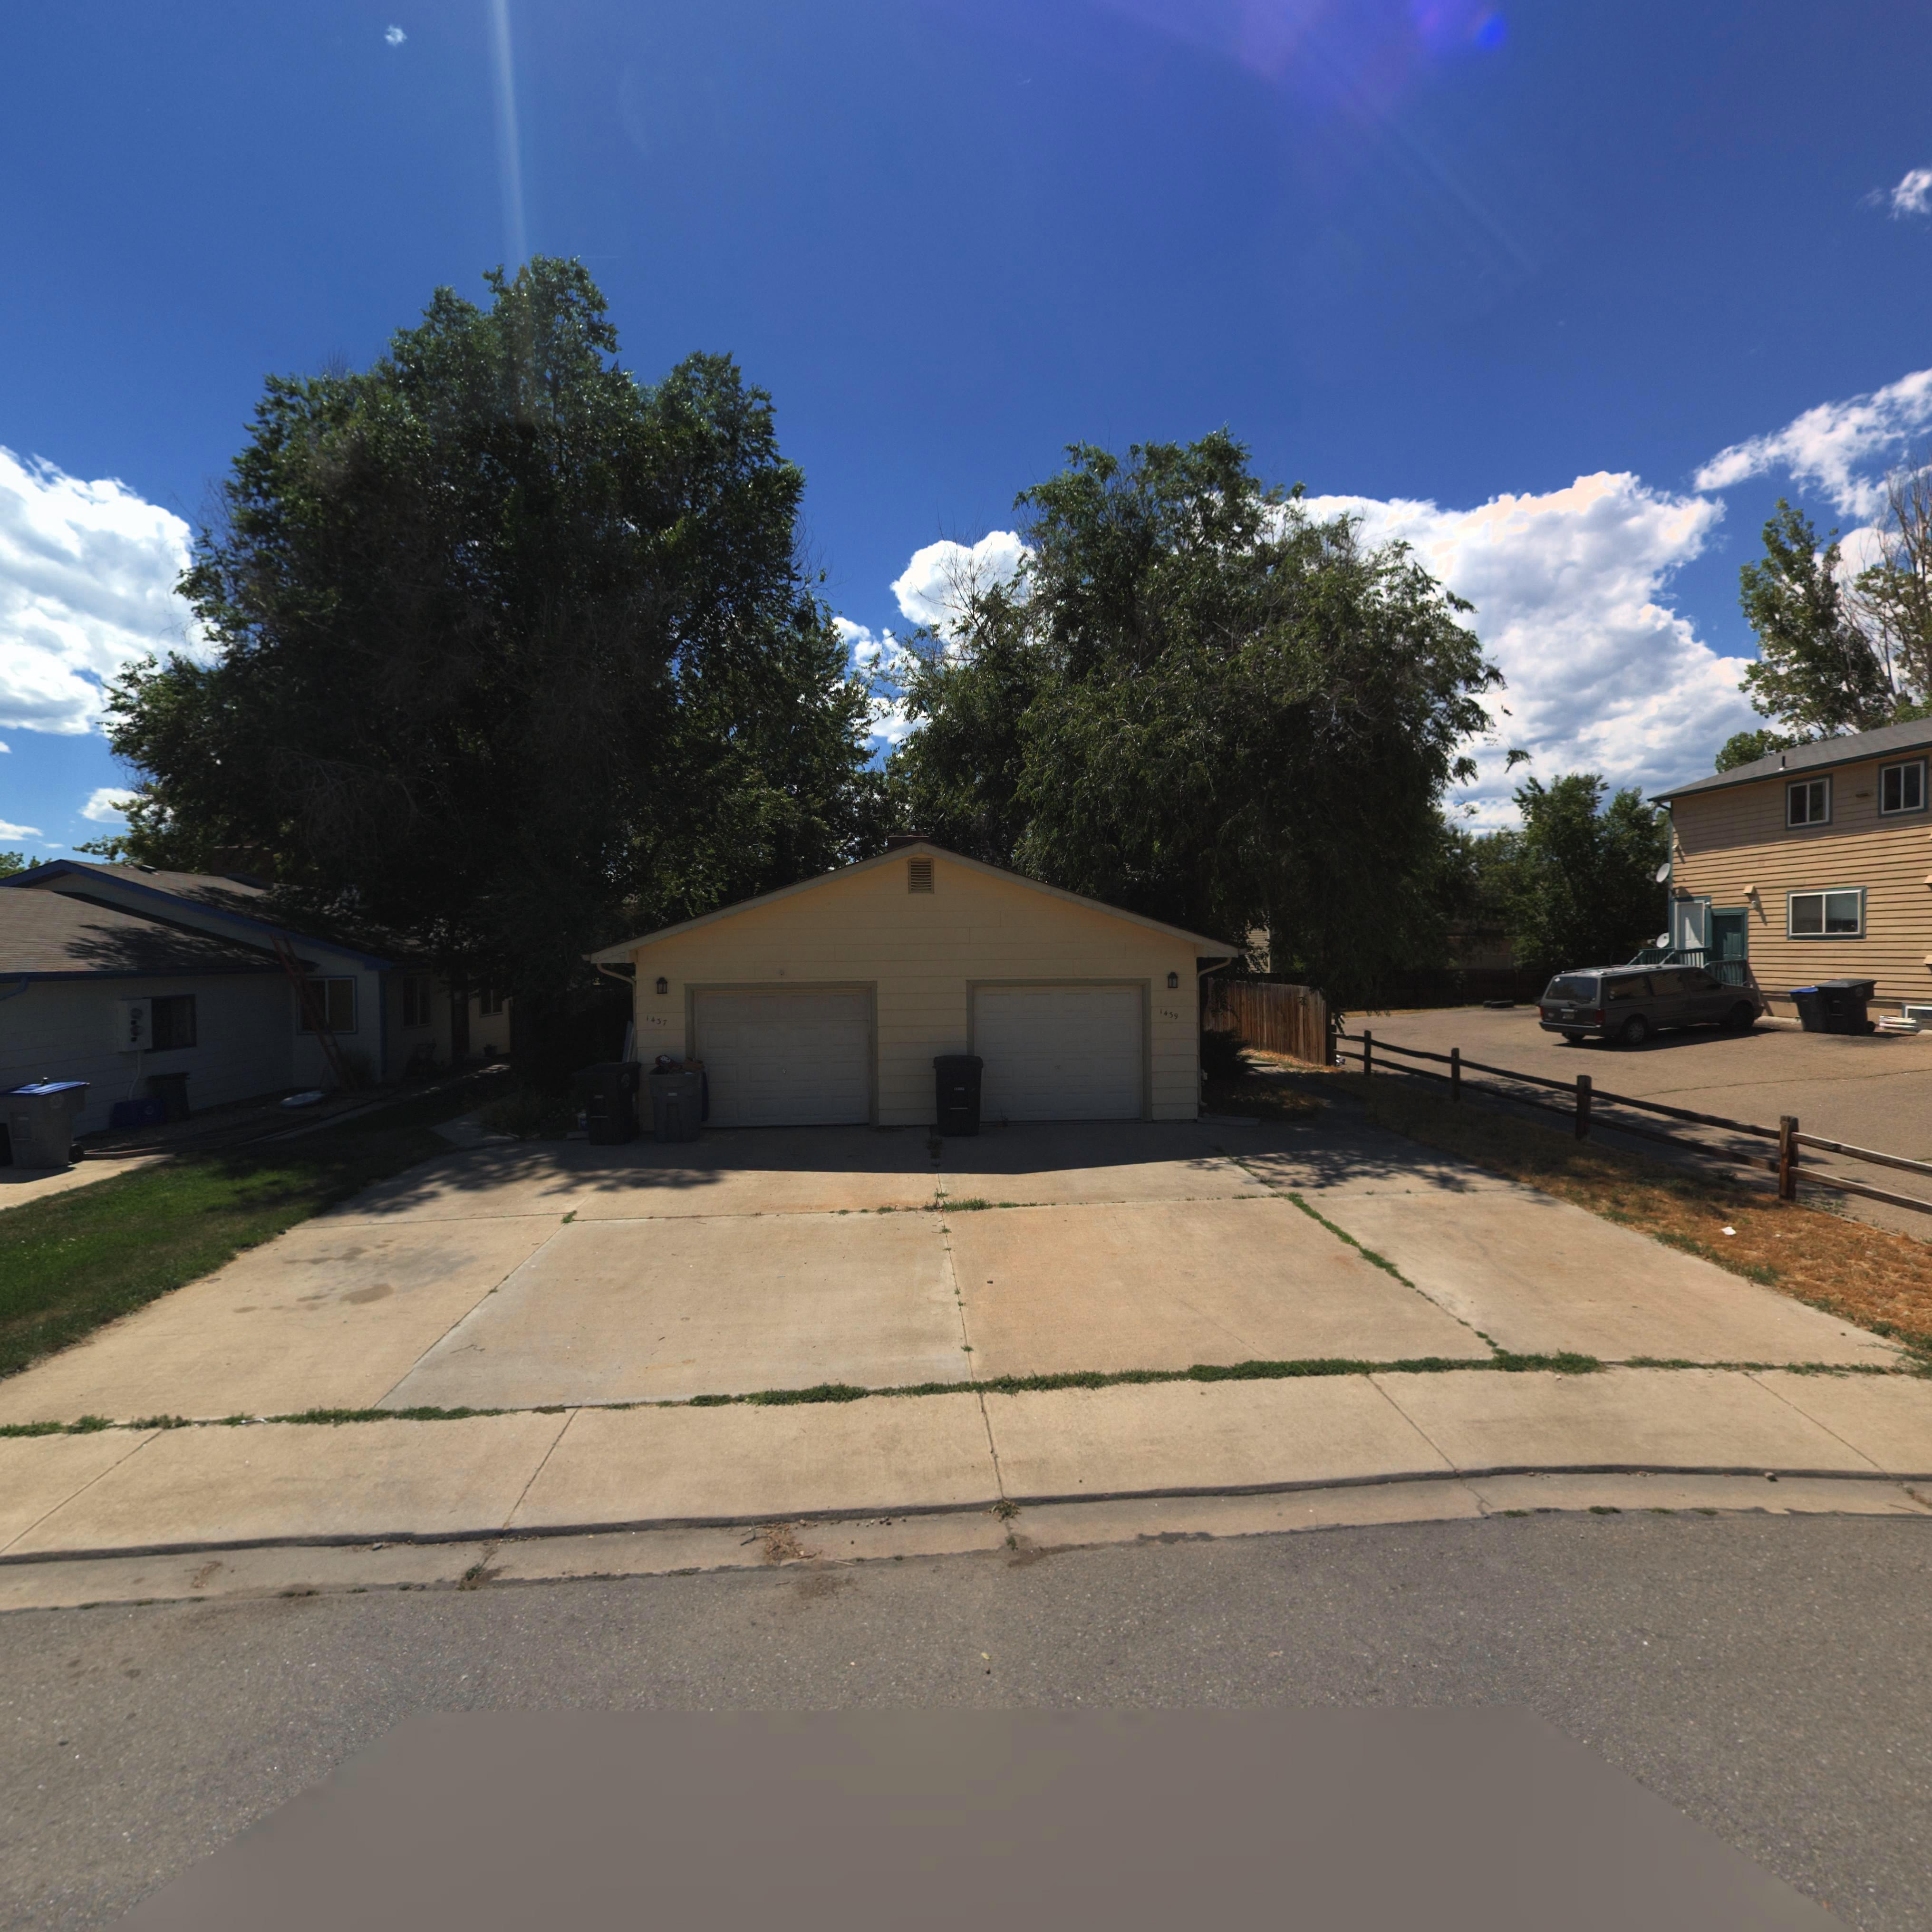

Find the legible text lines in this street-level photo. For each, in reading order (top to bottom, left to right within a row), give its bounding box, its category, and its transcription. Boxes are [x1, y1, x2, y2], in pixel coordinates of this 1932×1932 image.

[1159, 1008, 1178, 1020] StreetNumber: 1439
[646, 1014, 667, 1026] StreetNumber: 1437